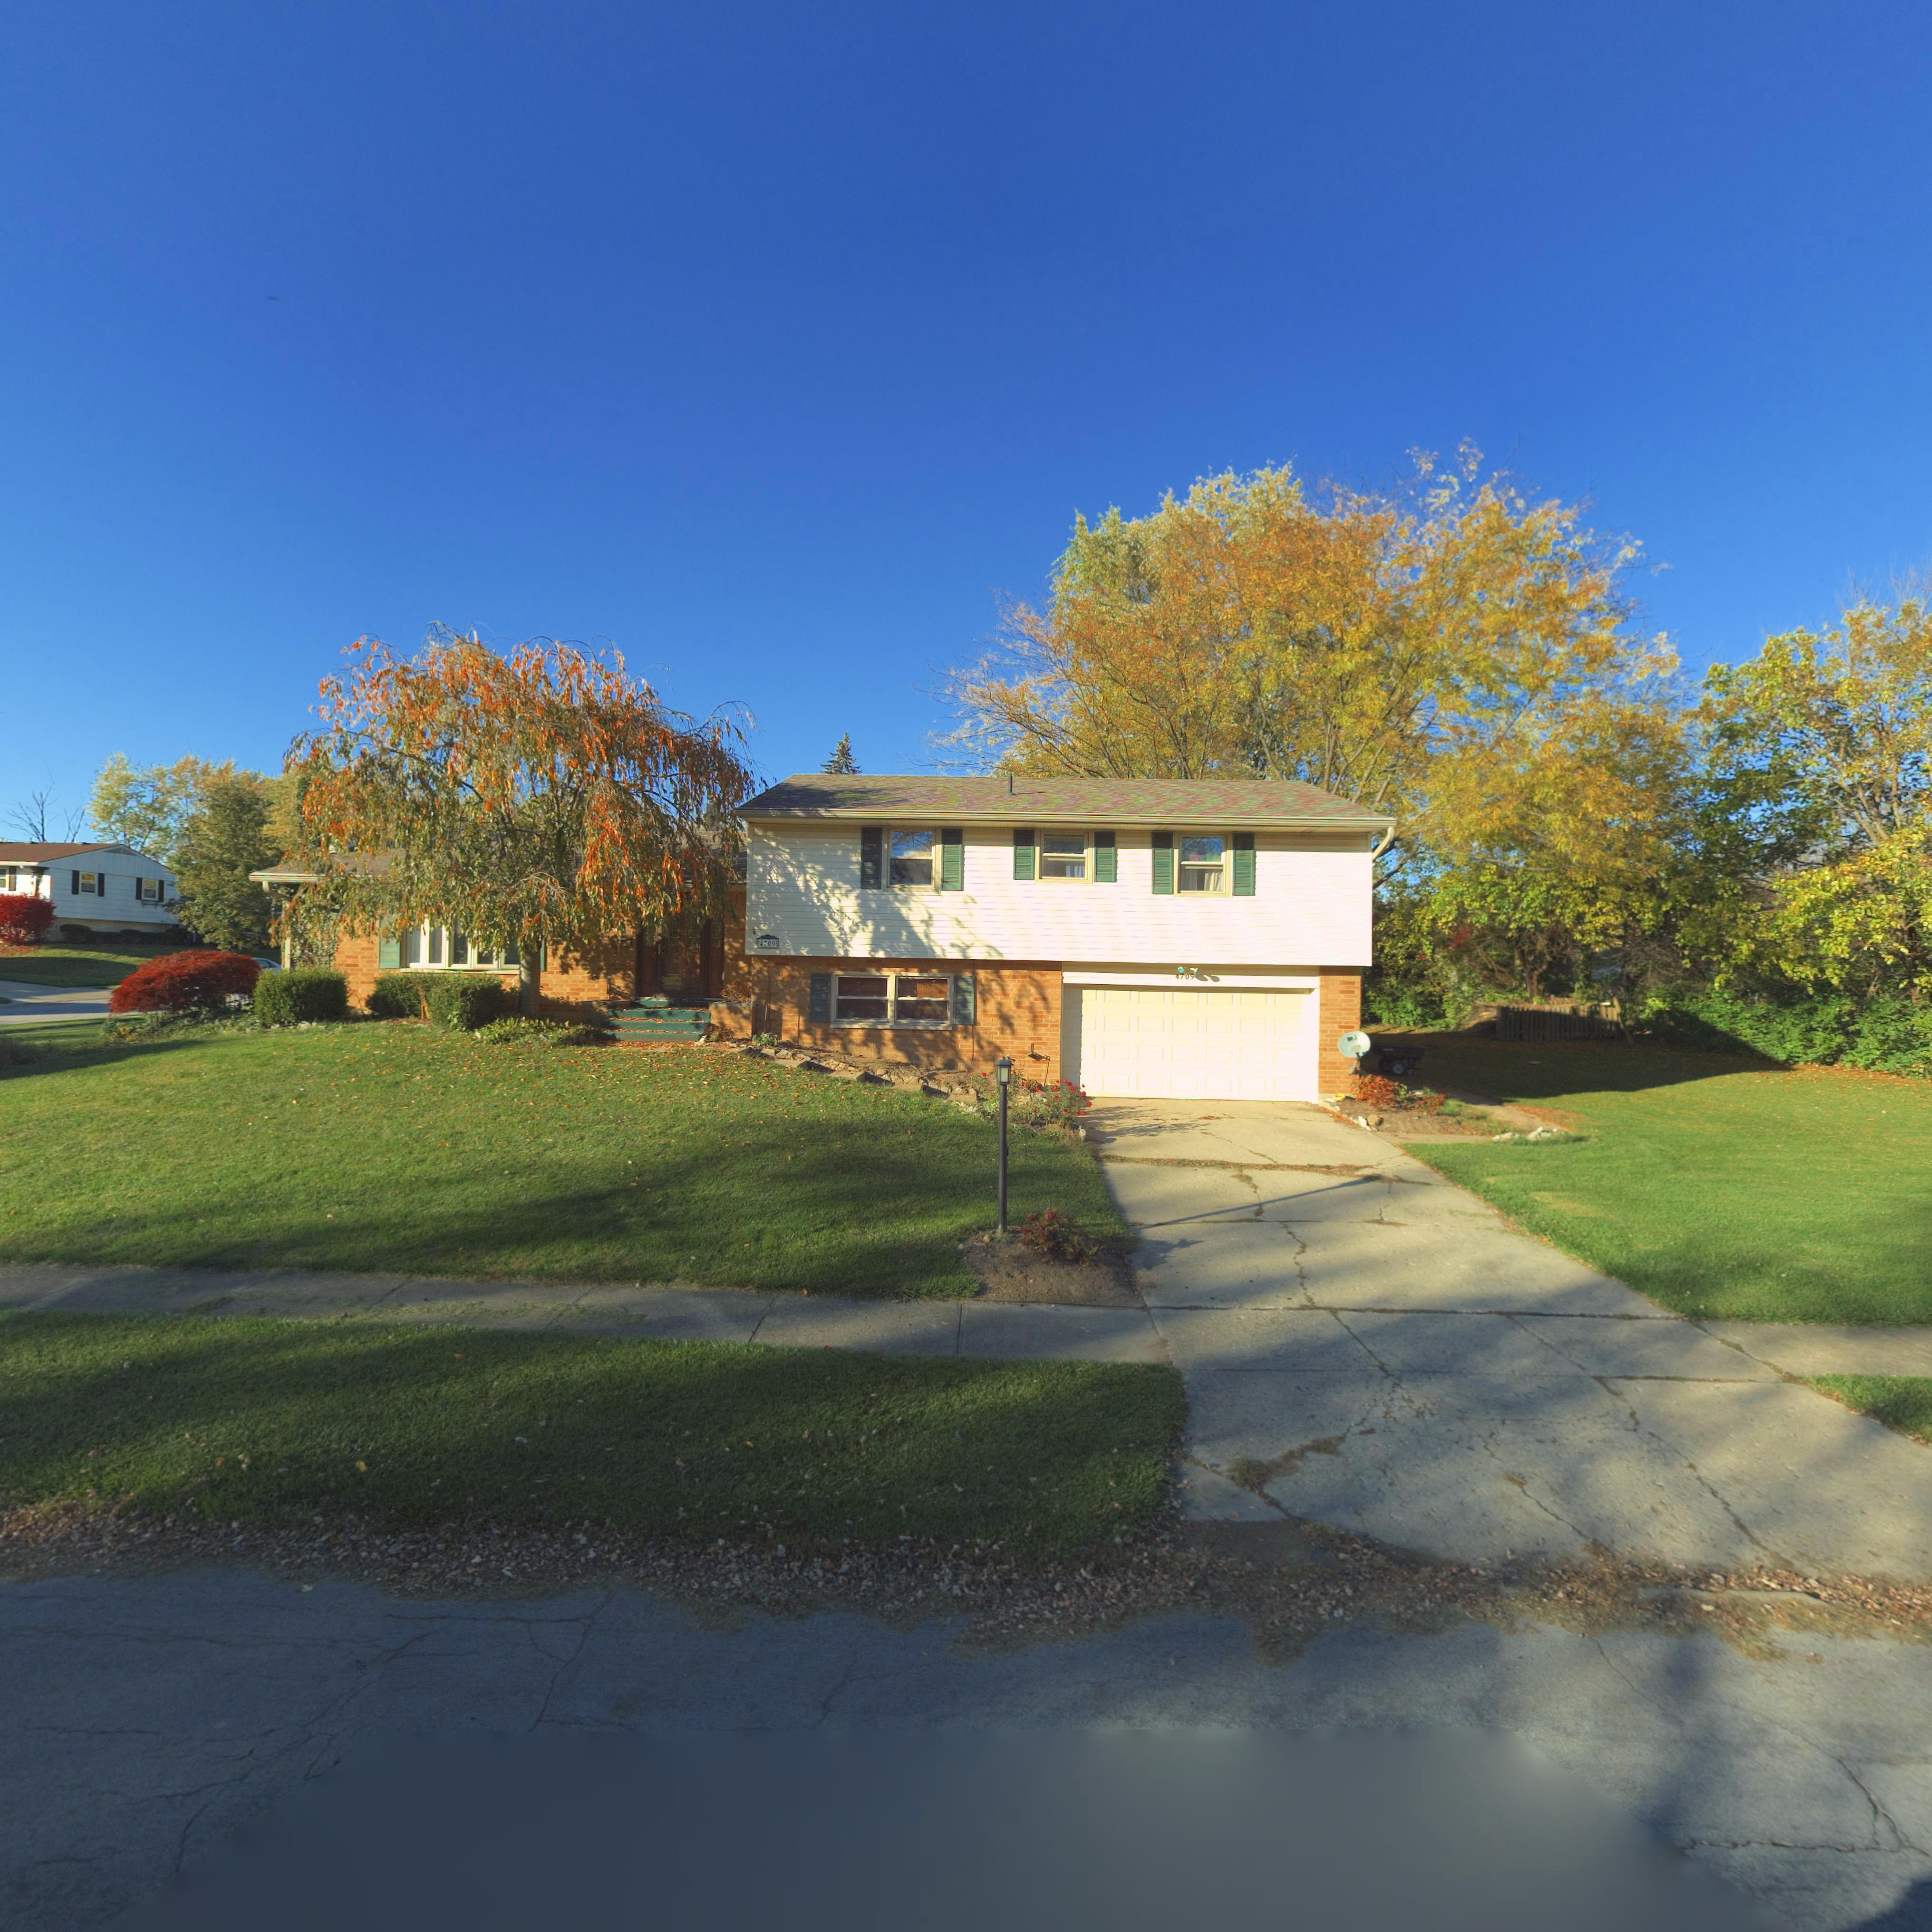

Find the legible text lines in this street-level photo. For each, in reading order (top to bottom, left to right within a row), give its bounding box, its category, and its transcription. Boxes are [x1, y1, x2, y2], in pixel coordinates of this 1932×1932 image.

[759, 940, 776, 947] StreetNumber: 4709
[1174, 972, 1195, 980] StreetNumber: 4709